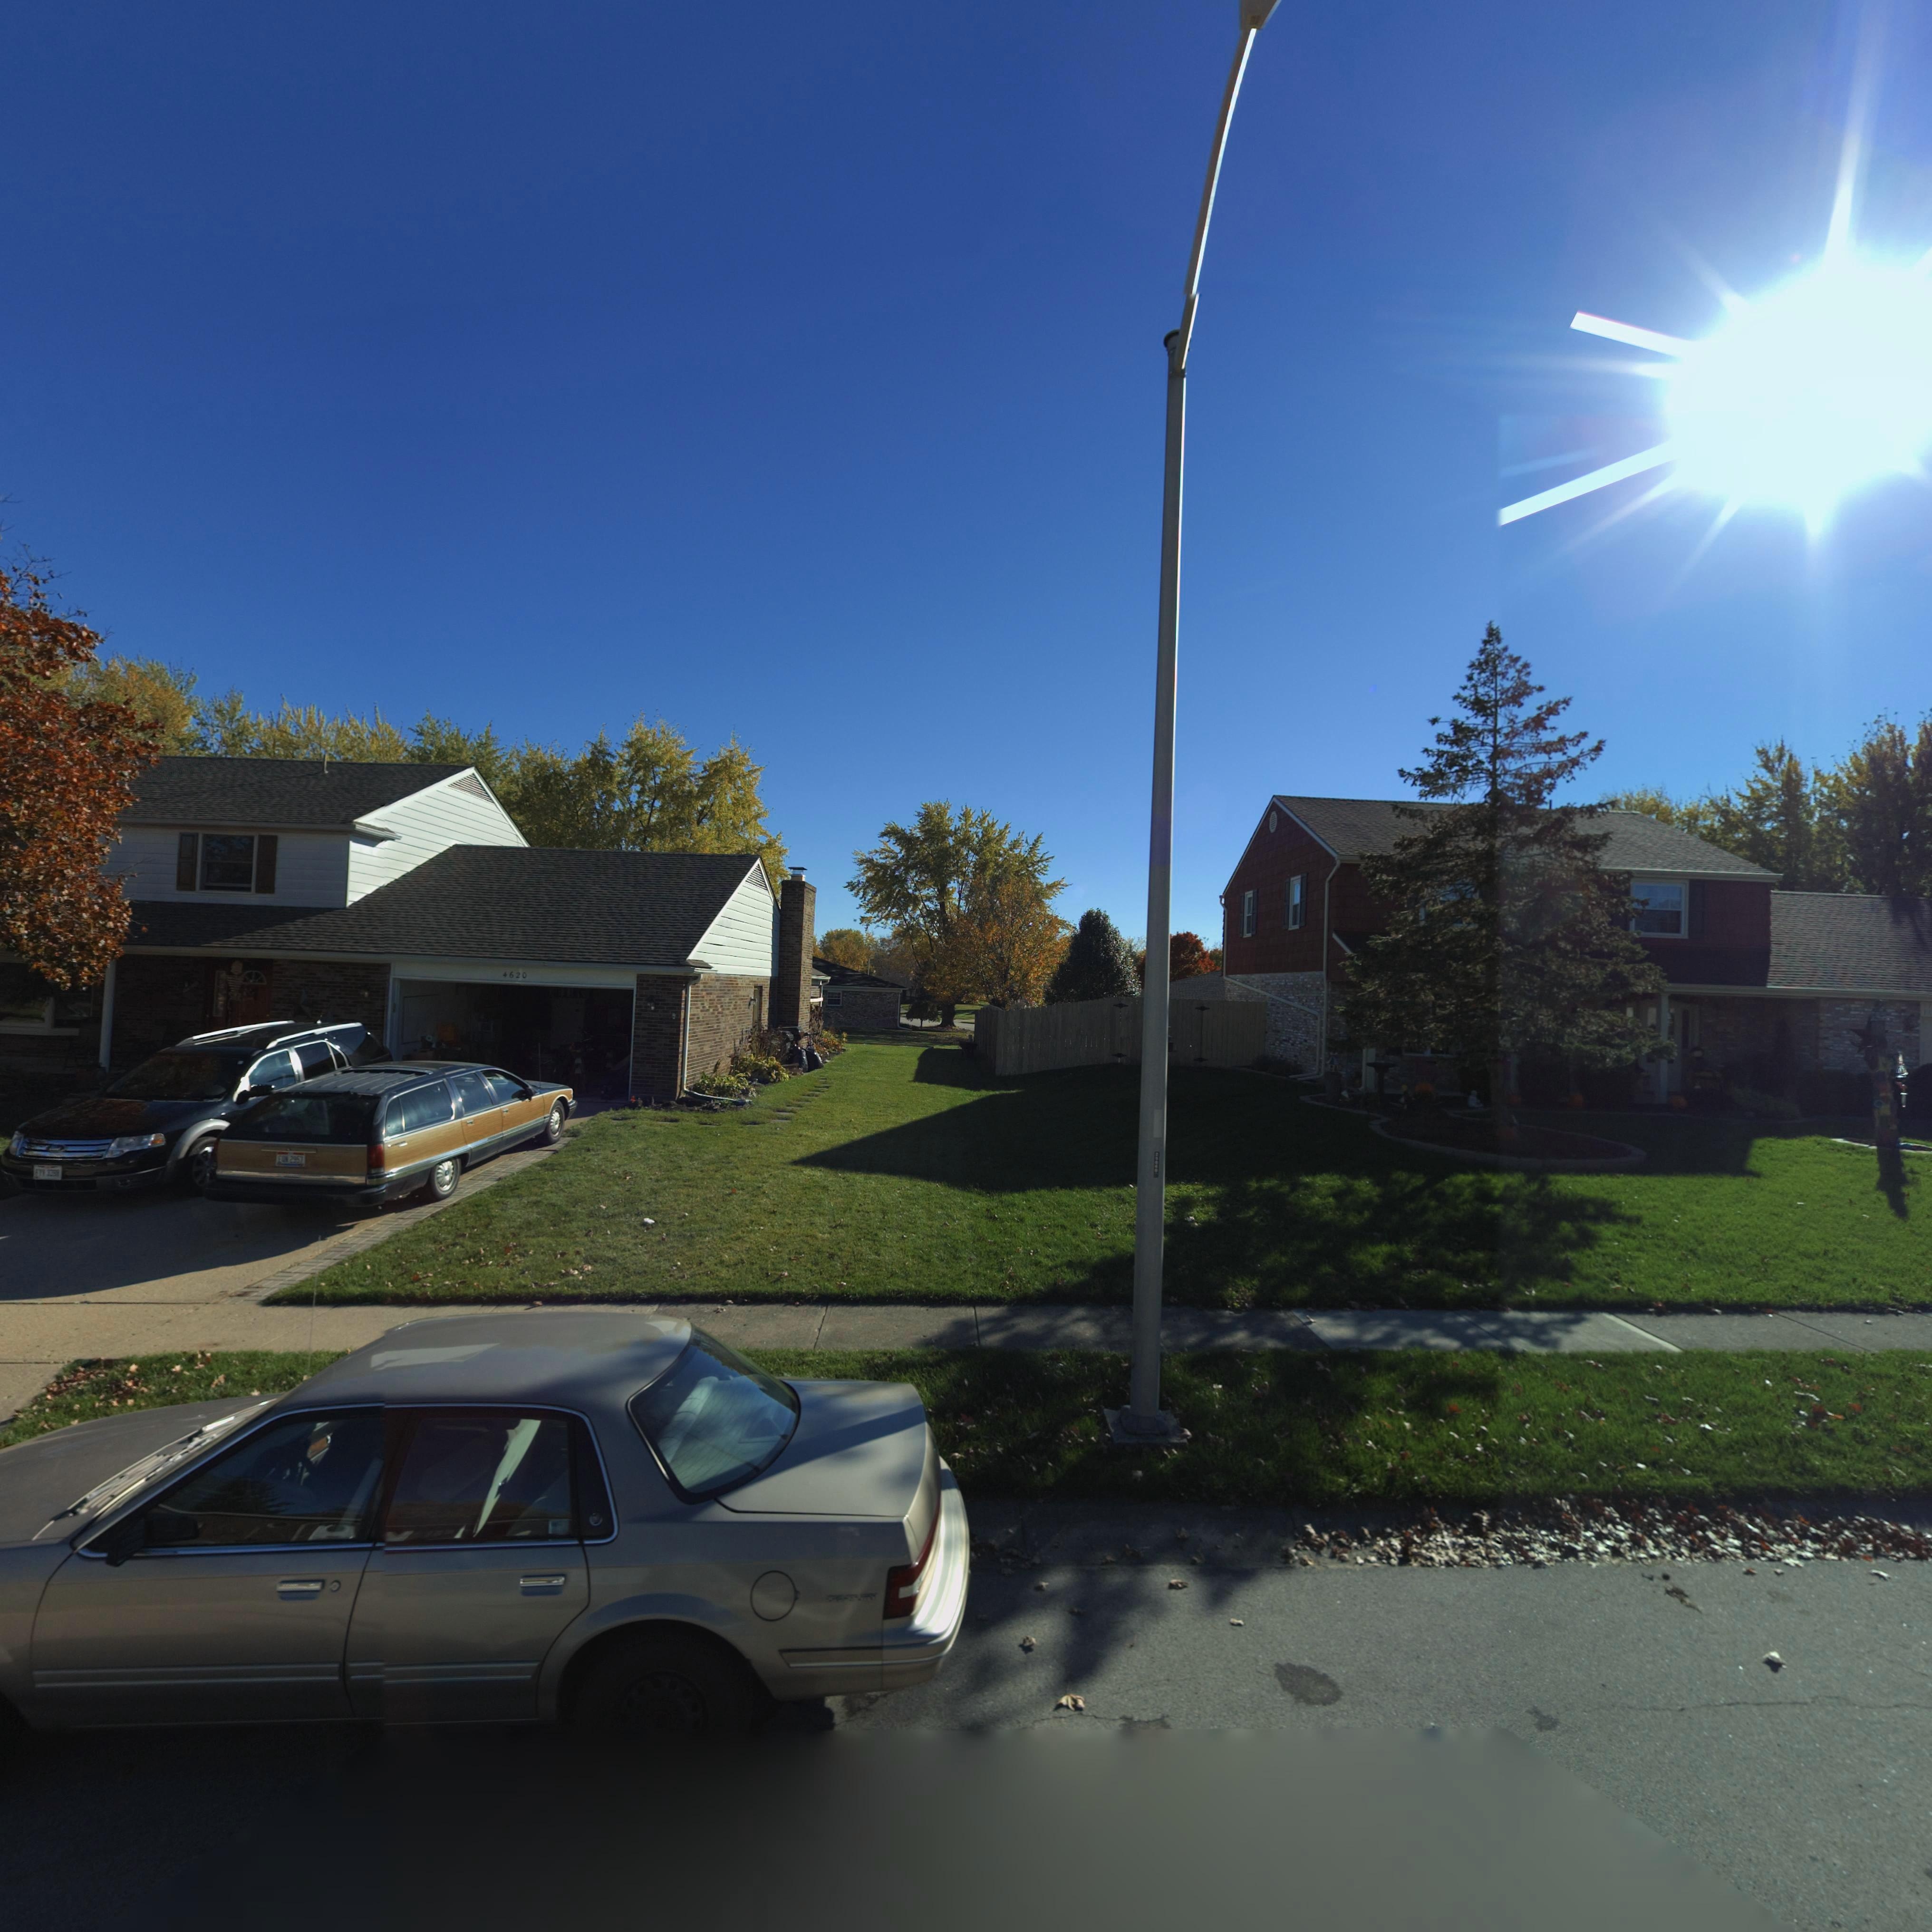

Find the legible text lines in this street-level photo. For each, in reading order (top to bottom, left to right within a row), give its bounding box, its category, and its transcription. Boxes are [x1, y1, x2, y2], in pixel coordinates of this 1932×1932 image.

[502, 970, 528, 979] StreetNumber: 4620